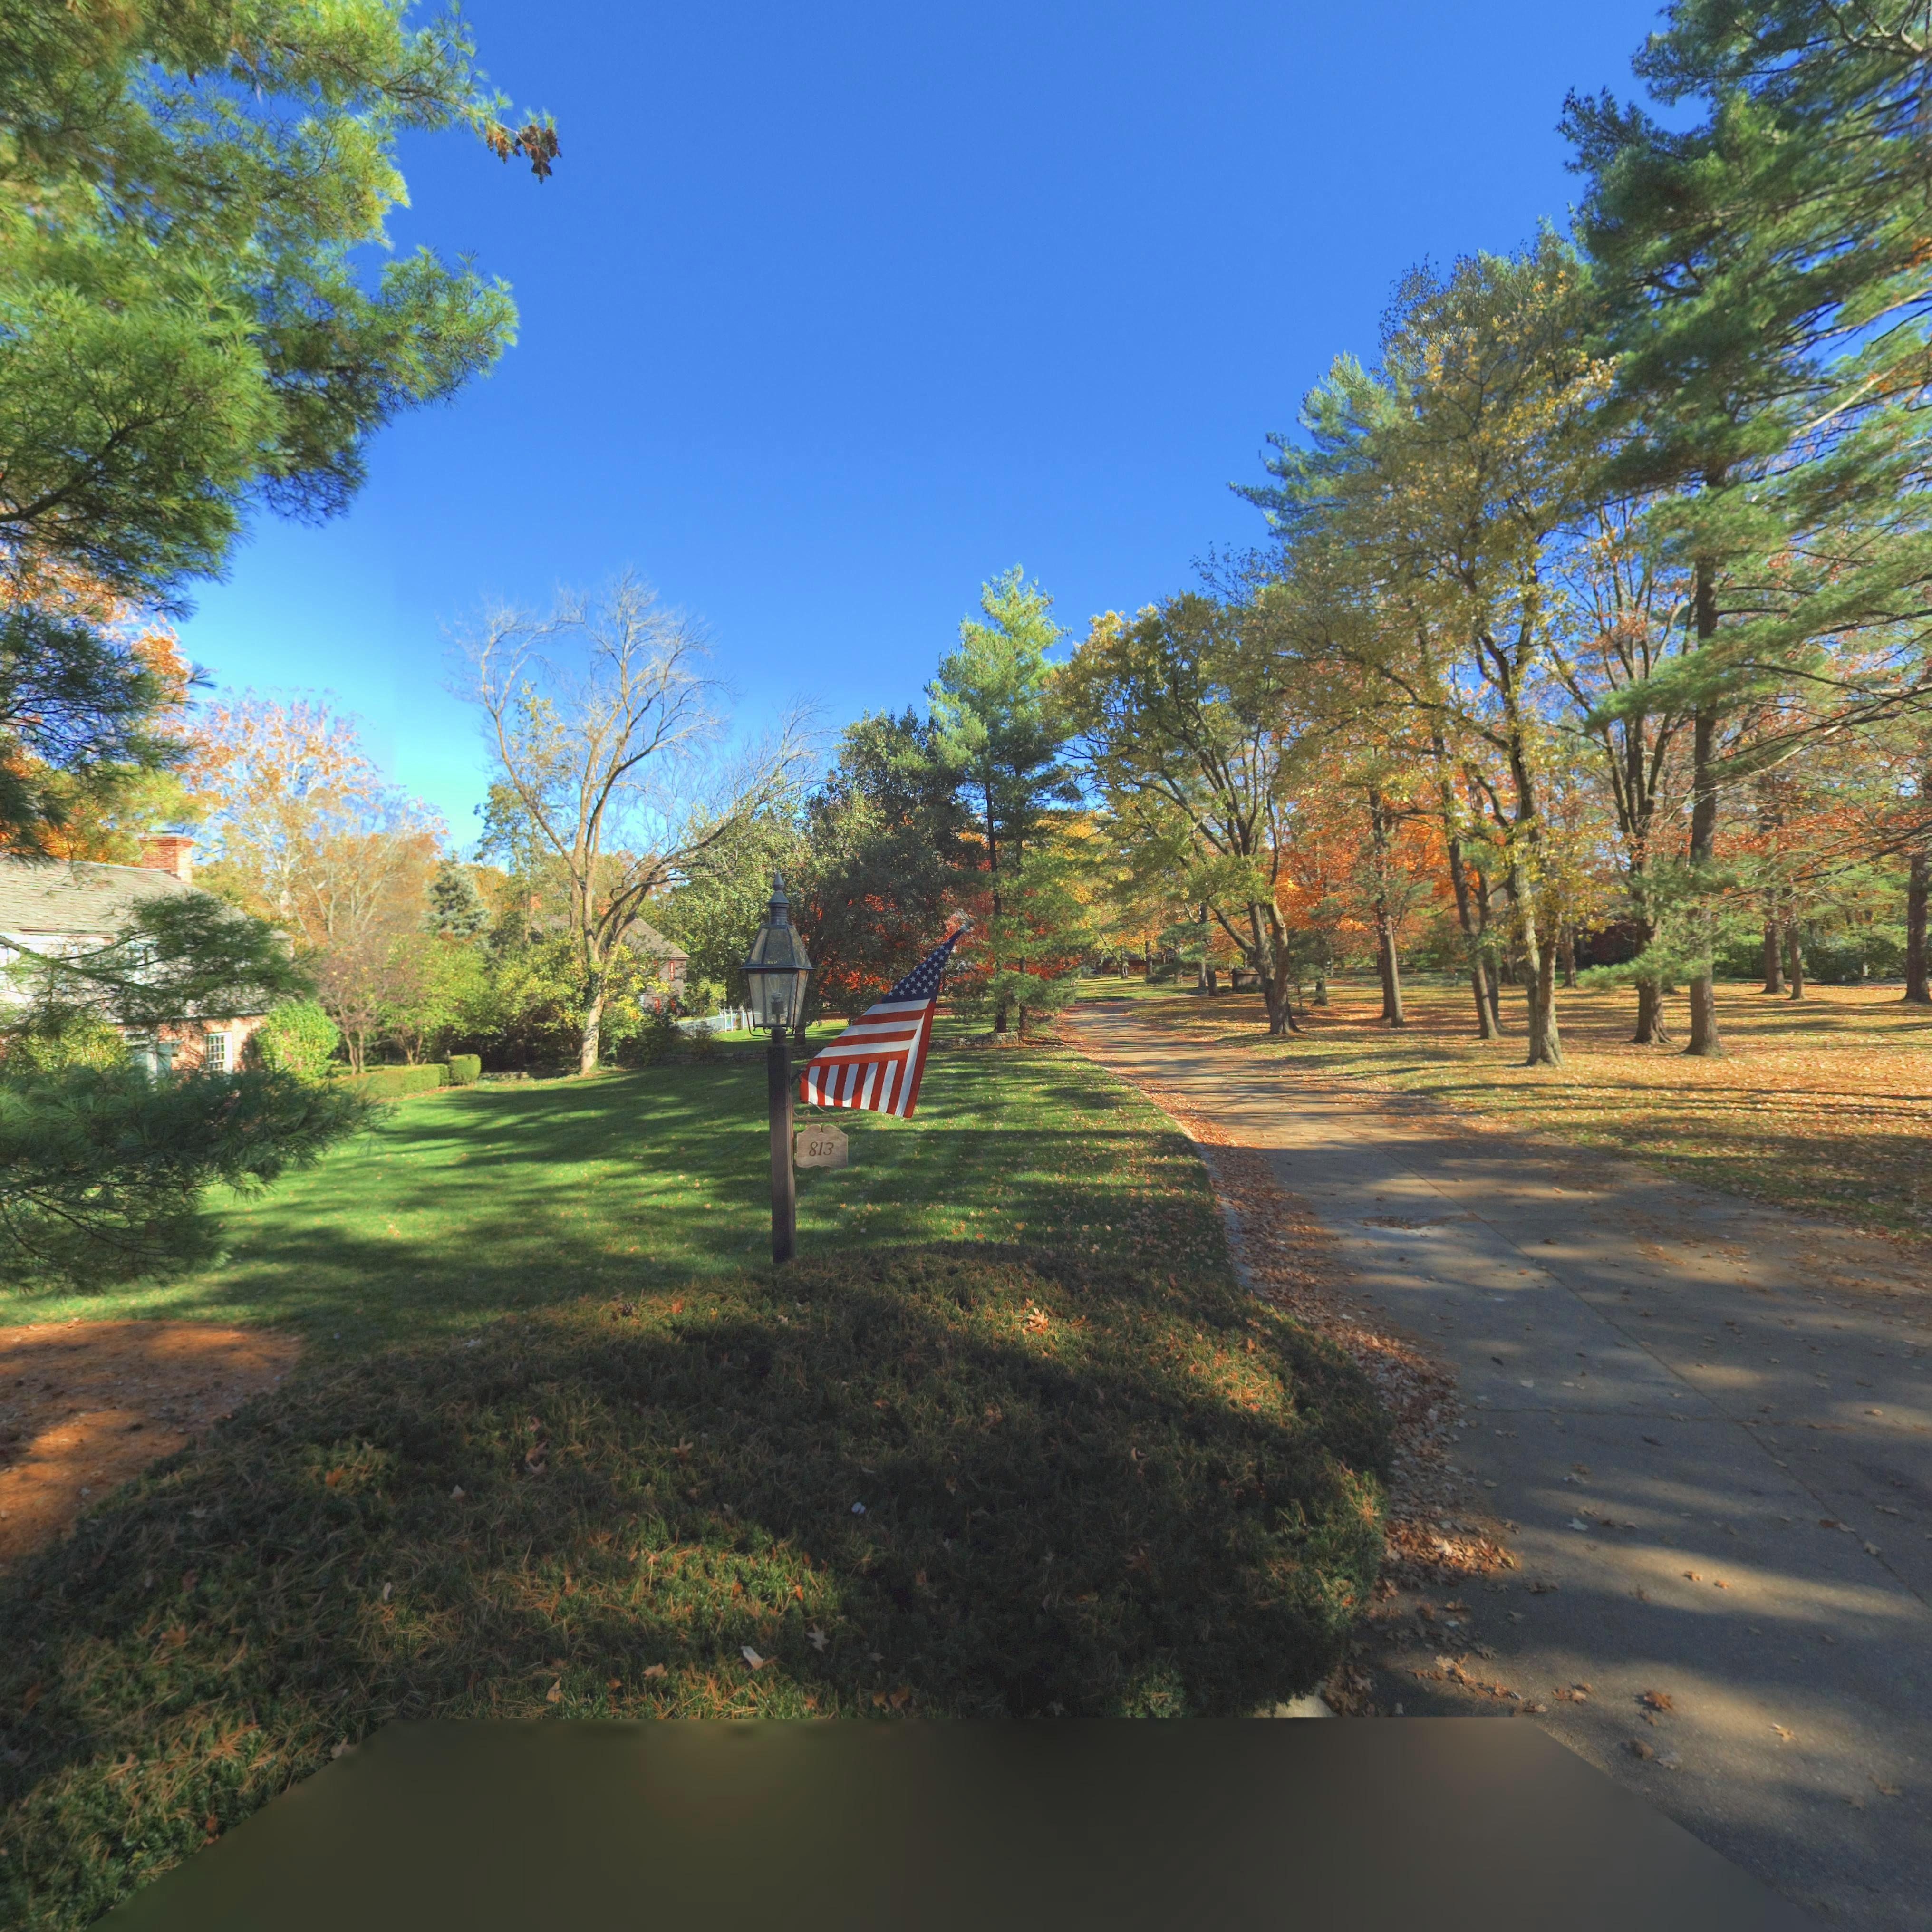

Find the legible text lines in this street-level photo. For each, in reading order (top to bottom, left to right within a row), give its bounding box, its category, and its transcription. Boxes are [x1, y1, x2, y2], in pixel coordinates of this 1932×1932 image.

[808, 1140, 835, 1157] StreetNumber: 813